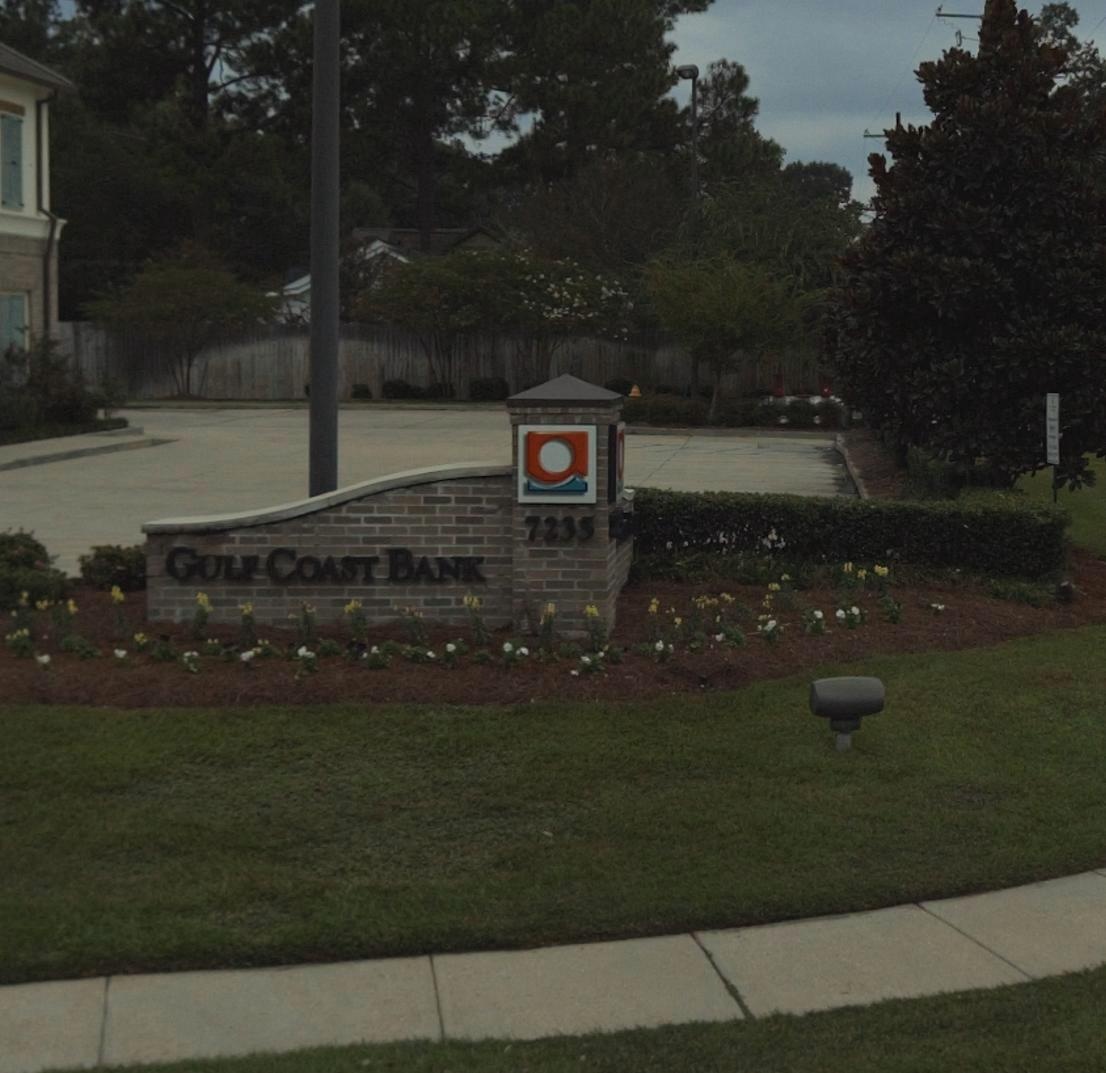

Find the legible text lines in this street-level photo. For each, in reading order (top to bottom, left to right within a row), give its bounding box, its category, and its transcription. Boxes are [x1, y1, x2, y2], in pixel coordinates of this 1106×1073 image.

[523, 512, 596, 543] StreetNumber: 7235
[163, 546, 487, 587] BusinessName: GOLF COAST BANK